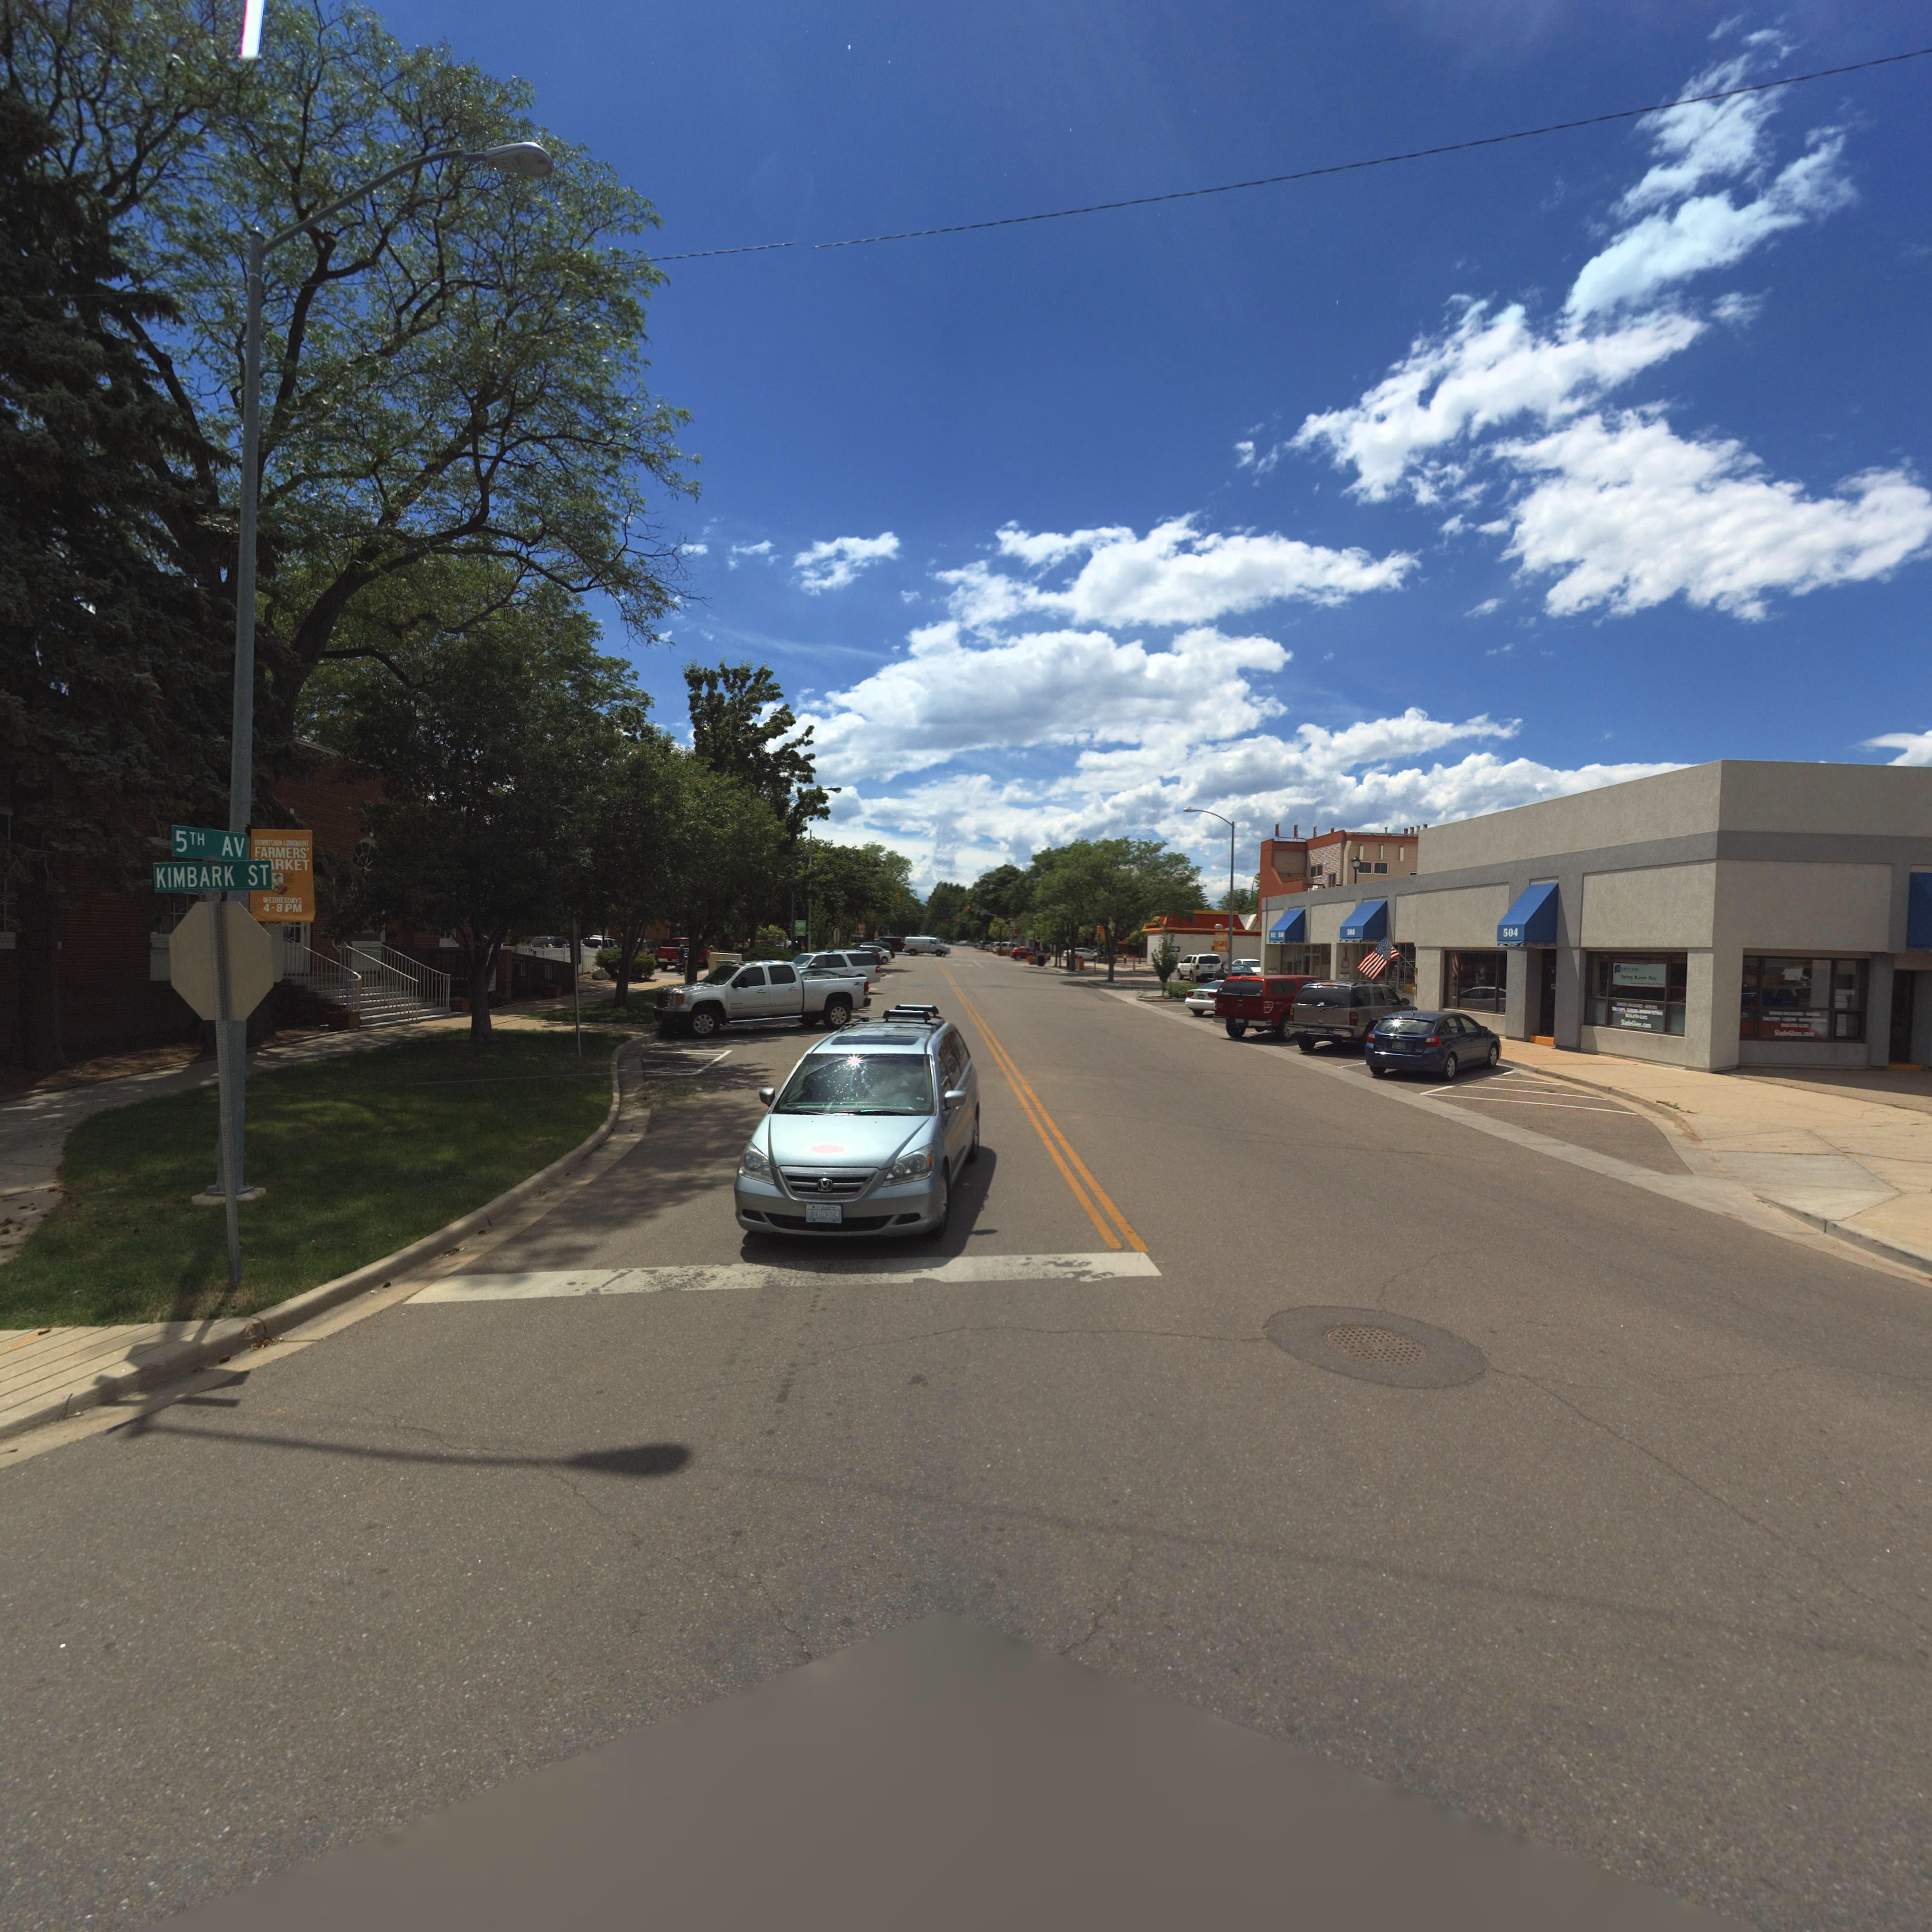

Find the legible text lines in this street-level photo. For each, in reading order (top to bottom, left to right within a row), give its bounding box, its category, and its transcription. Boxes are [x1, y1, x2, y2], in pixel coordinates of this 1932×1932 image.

[1270, 932, 1276, 937] StreetNumber: 512
[1278, 932, 1284, 937] StreetNumber: 510
[1346, 928, 1355, 936] StreetNumber: 508
[1503, 927, 1518, 937] StreetNumber: 504
[1627, 967, 1639, 971] BusinessName: *L***